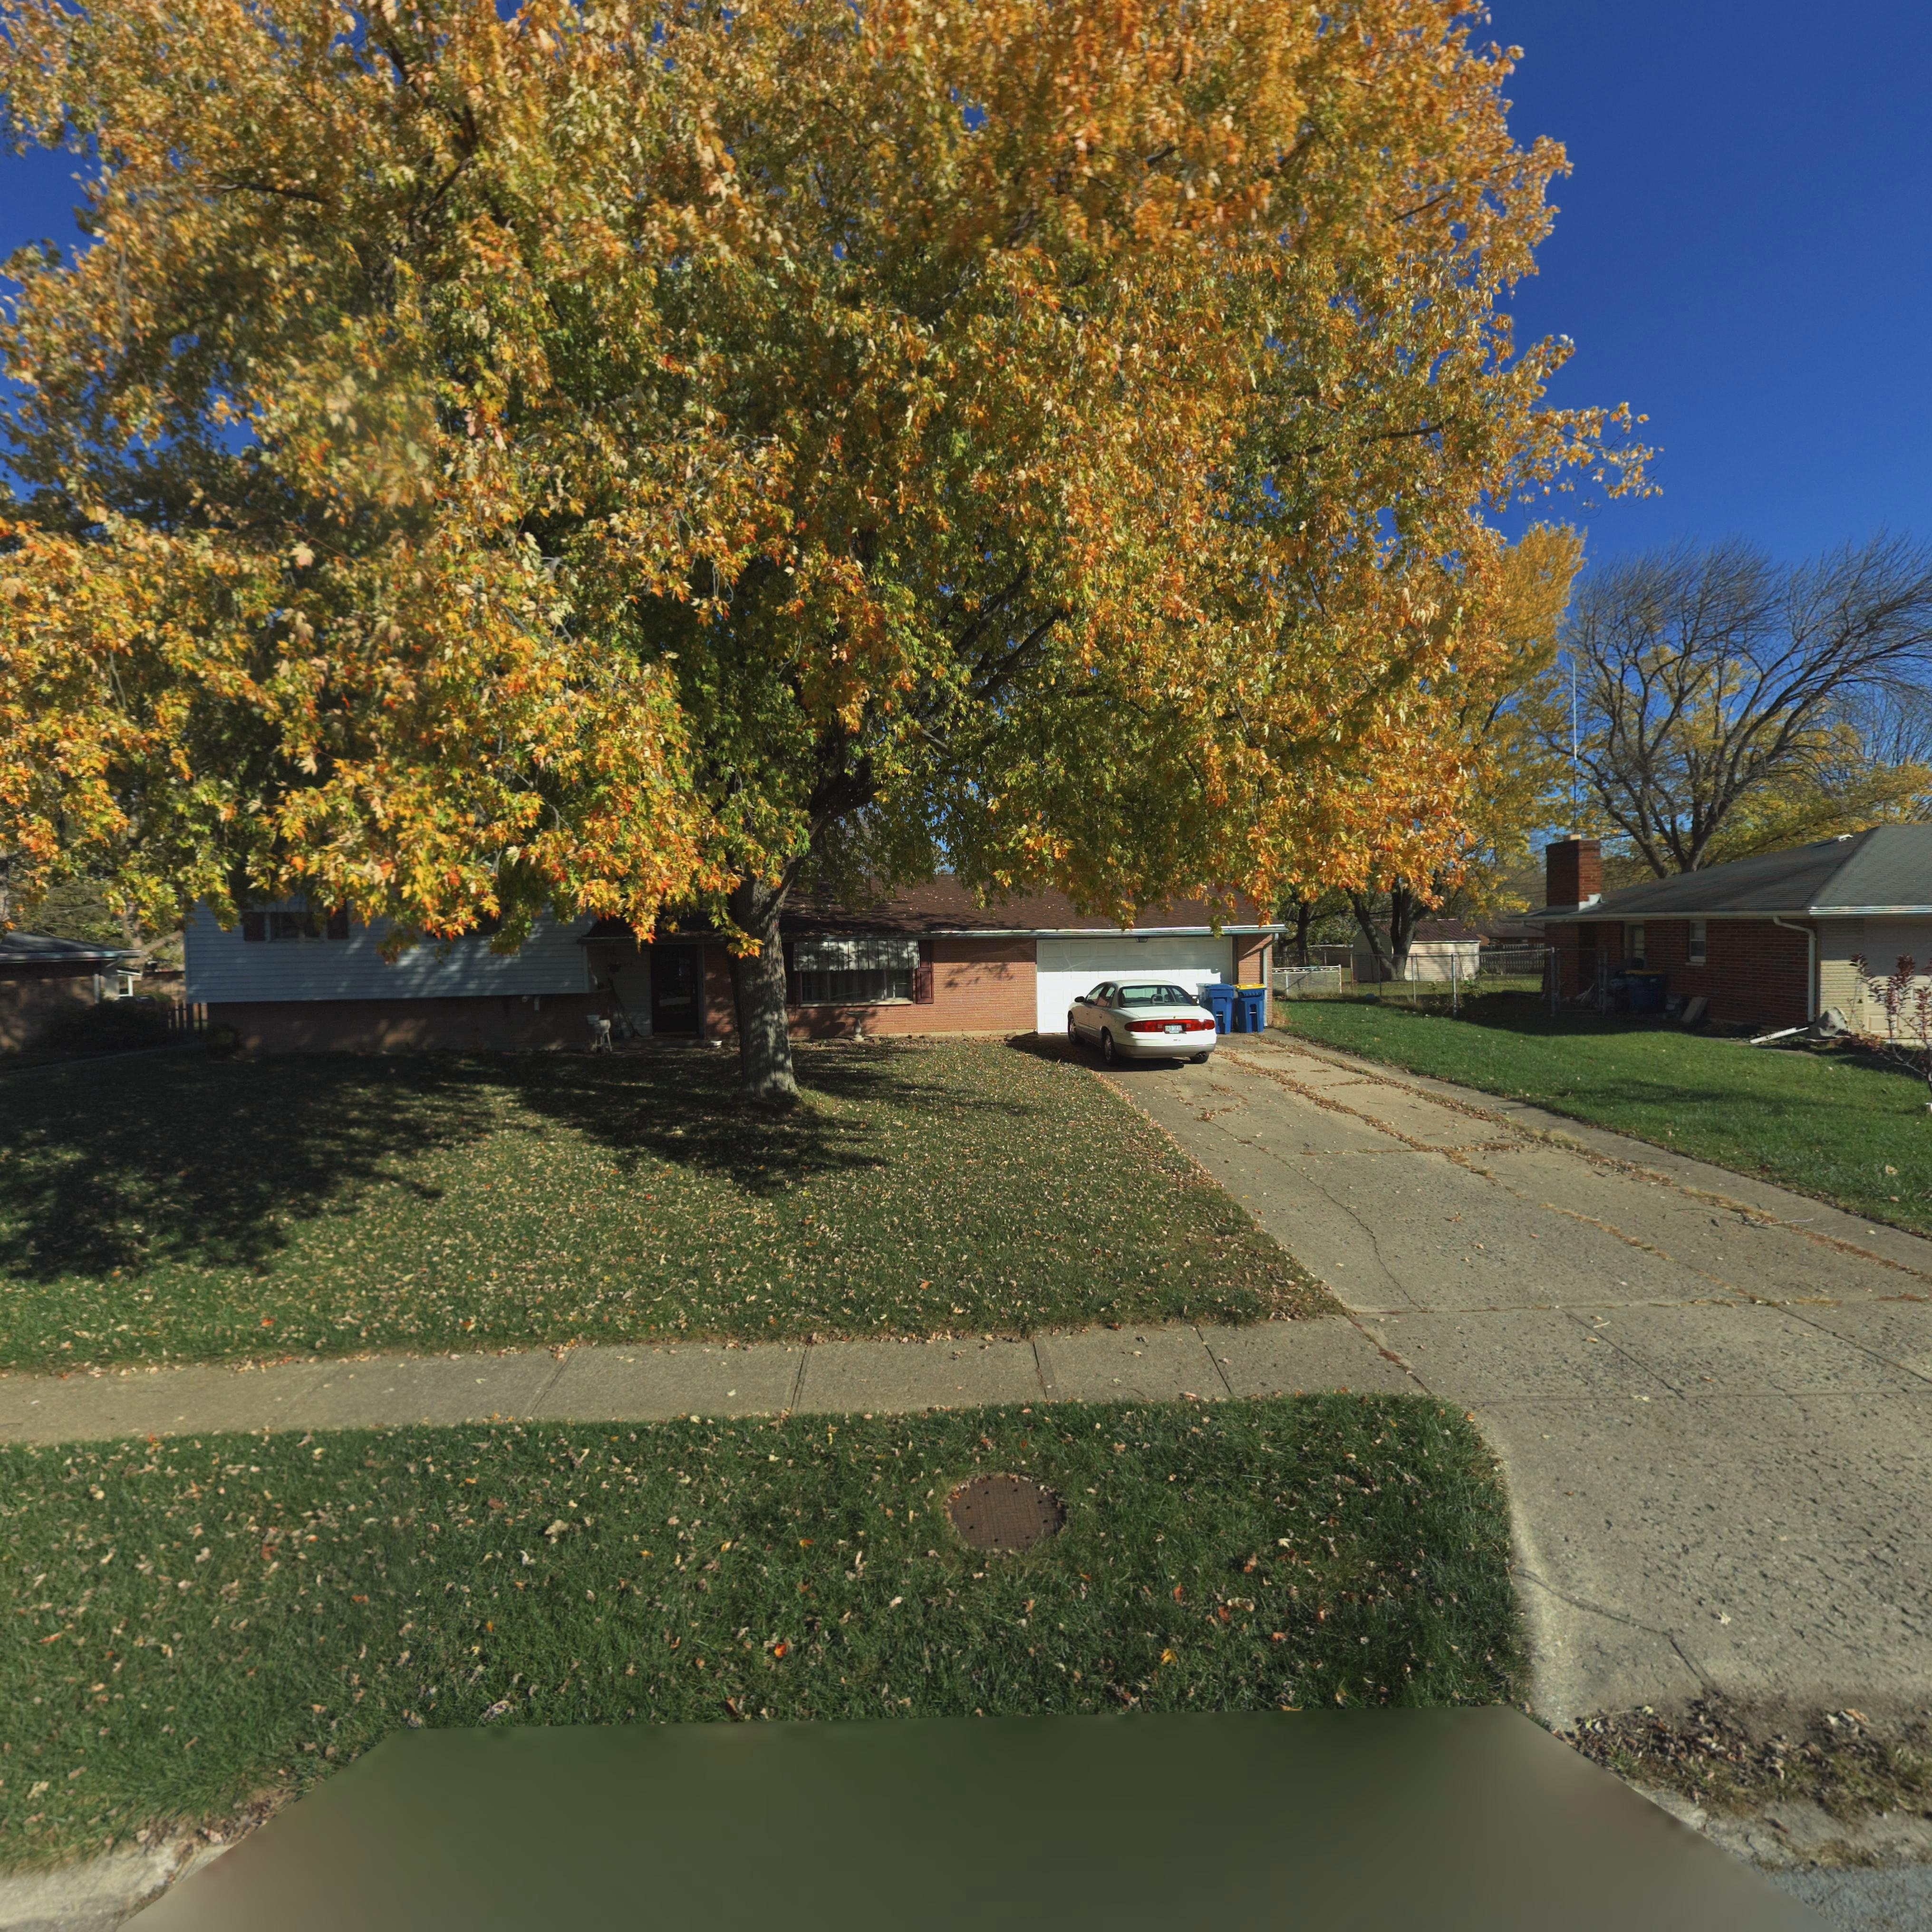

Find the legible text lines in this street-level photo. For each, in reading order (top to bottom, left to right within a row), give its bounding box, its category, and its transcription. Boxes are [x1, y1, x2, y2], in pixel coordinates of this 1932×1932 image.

[619, 961, 633, 967] StreetNumber: 6**4